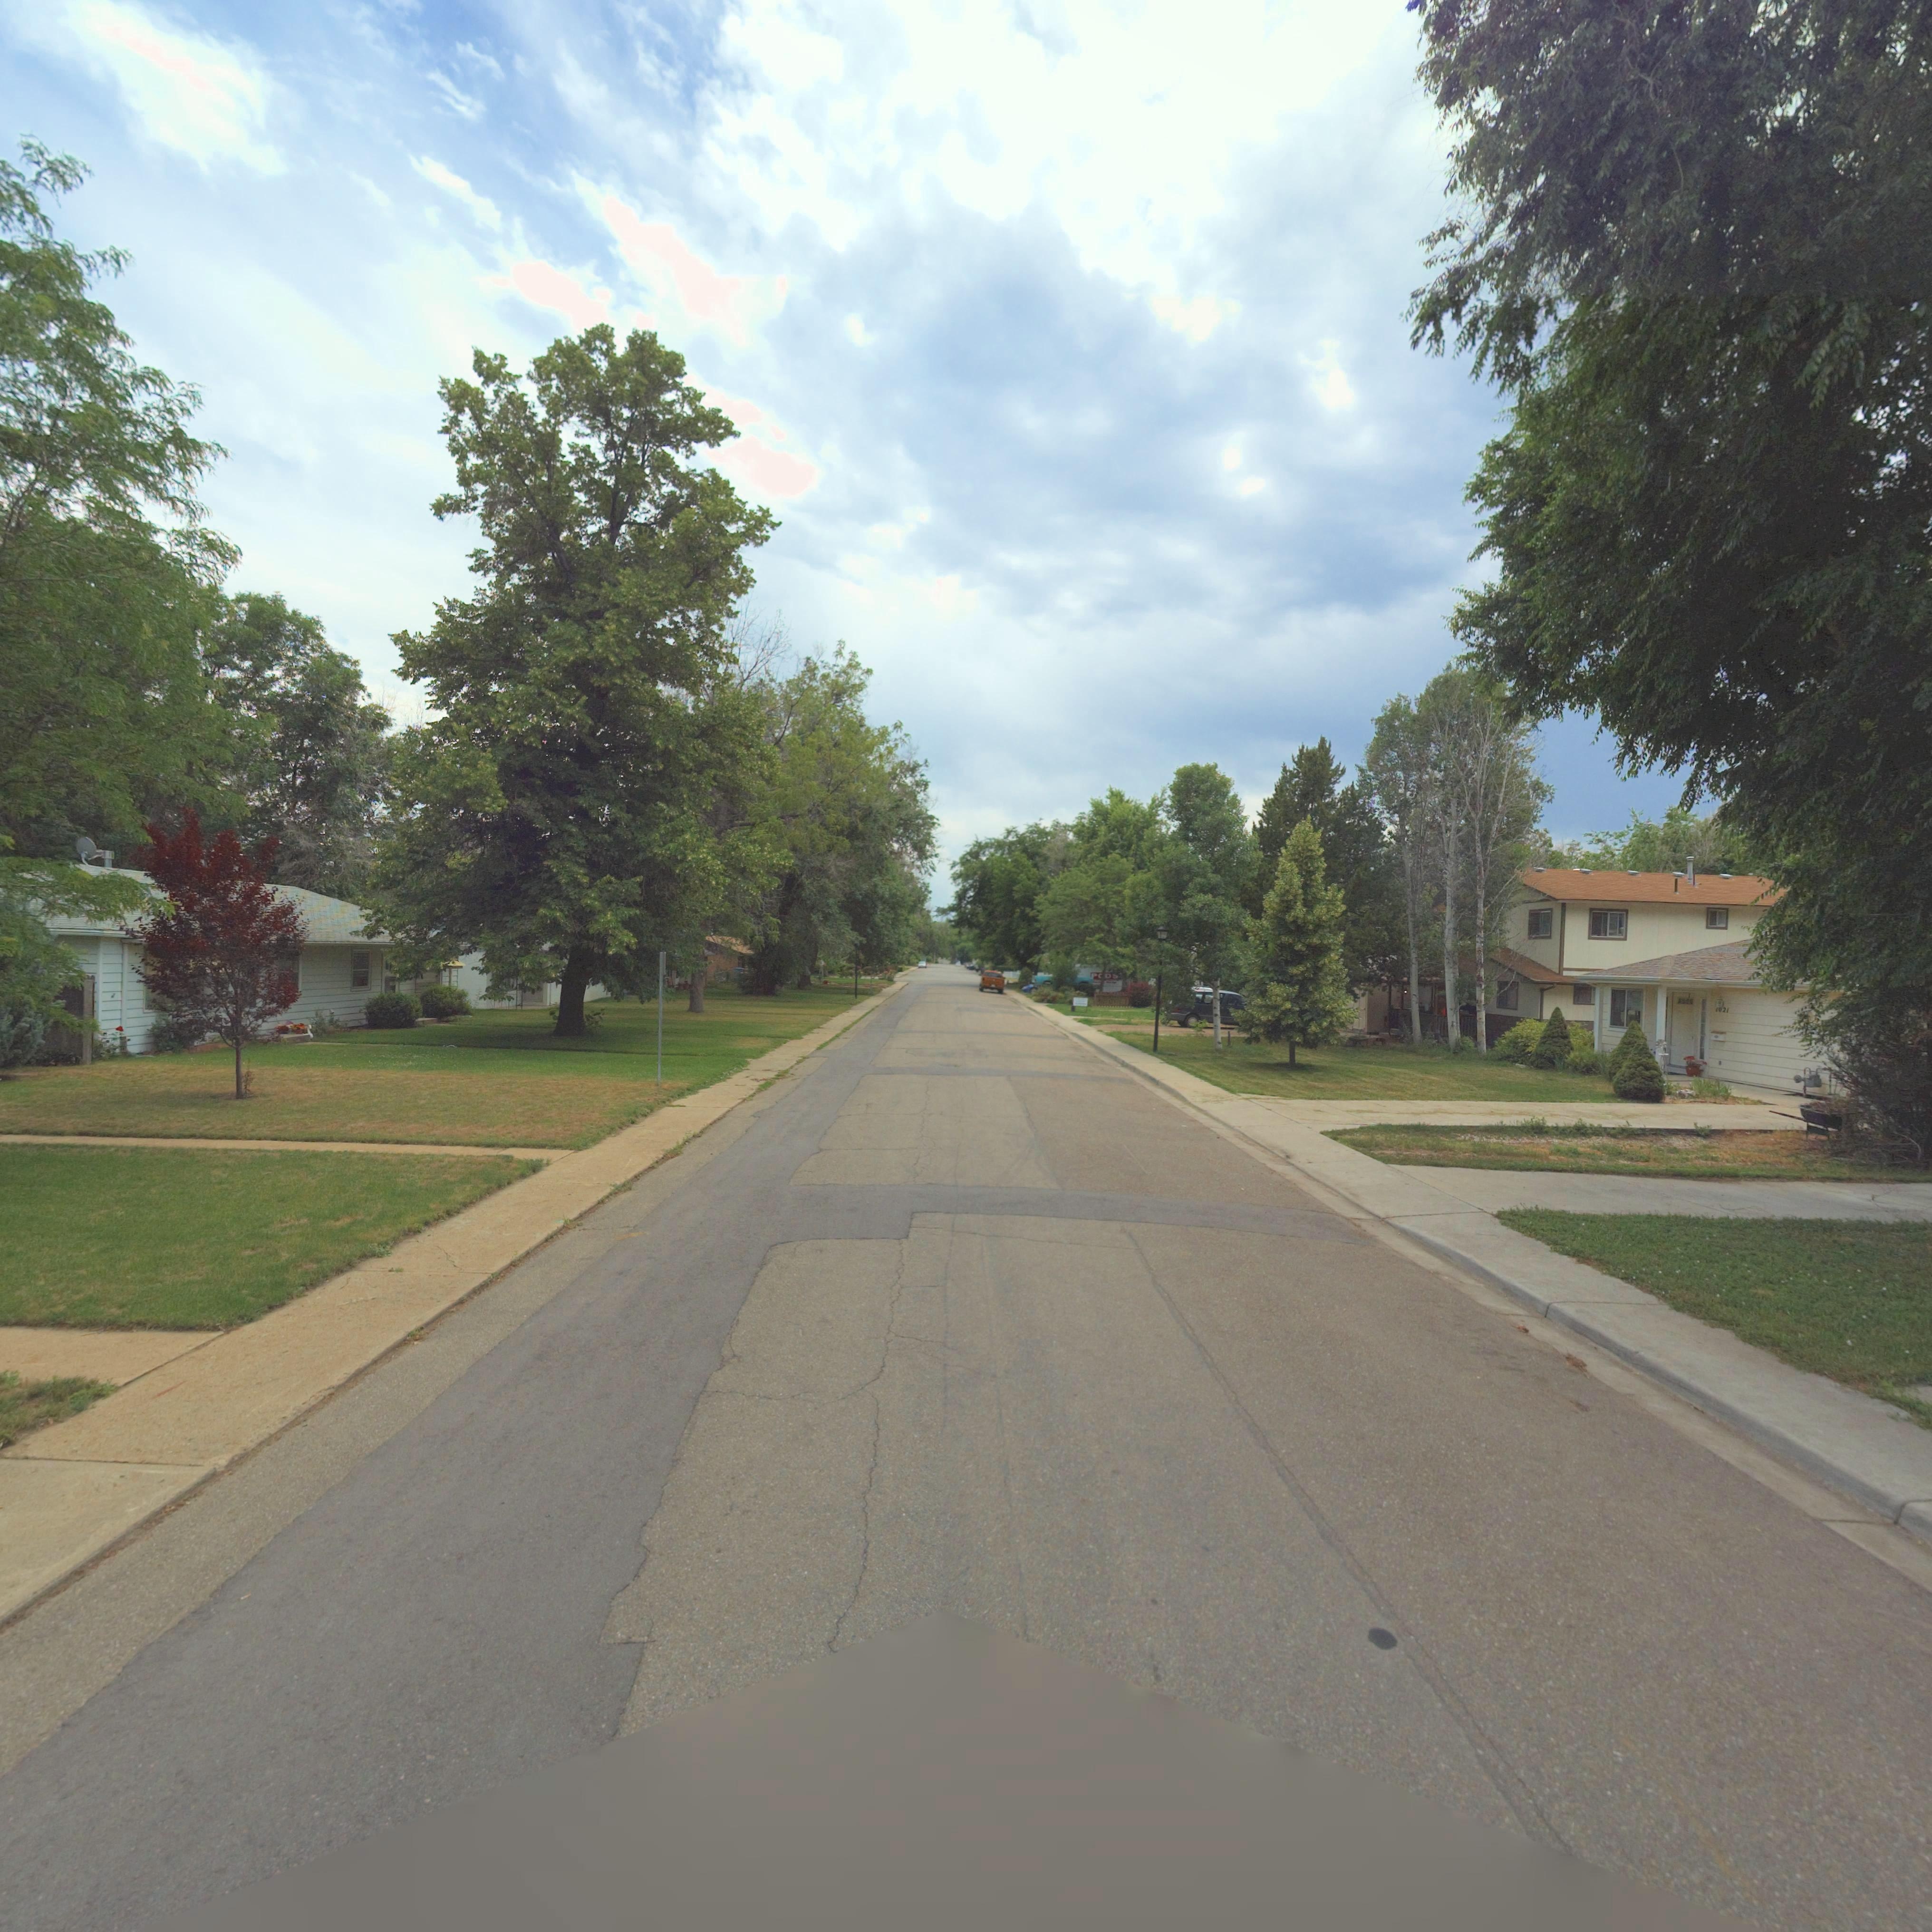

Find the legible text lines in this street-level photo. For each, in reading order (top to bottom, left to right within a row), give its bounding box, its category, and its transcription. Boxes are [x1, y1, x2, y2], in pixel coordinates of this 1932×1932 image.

[1715, 1006, 1729, 1013] StreetNumber: 1021